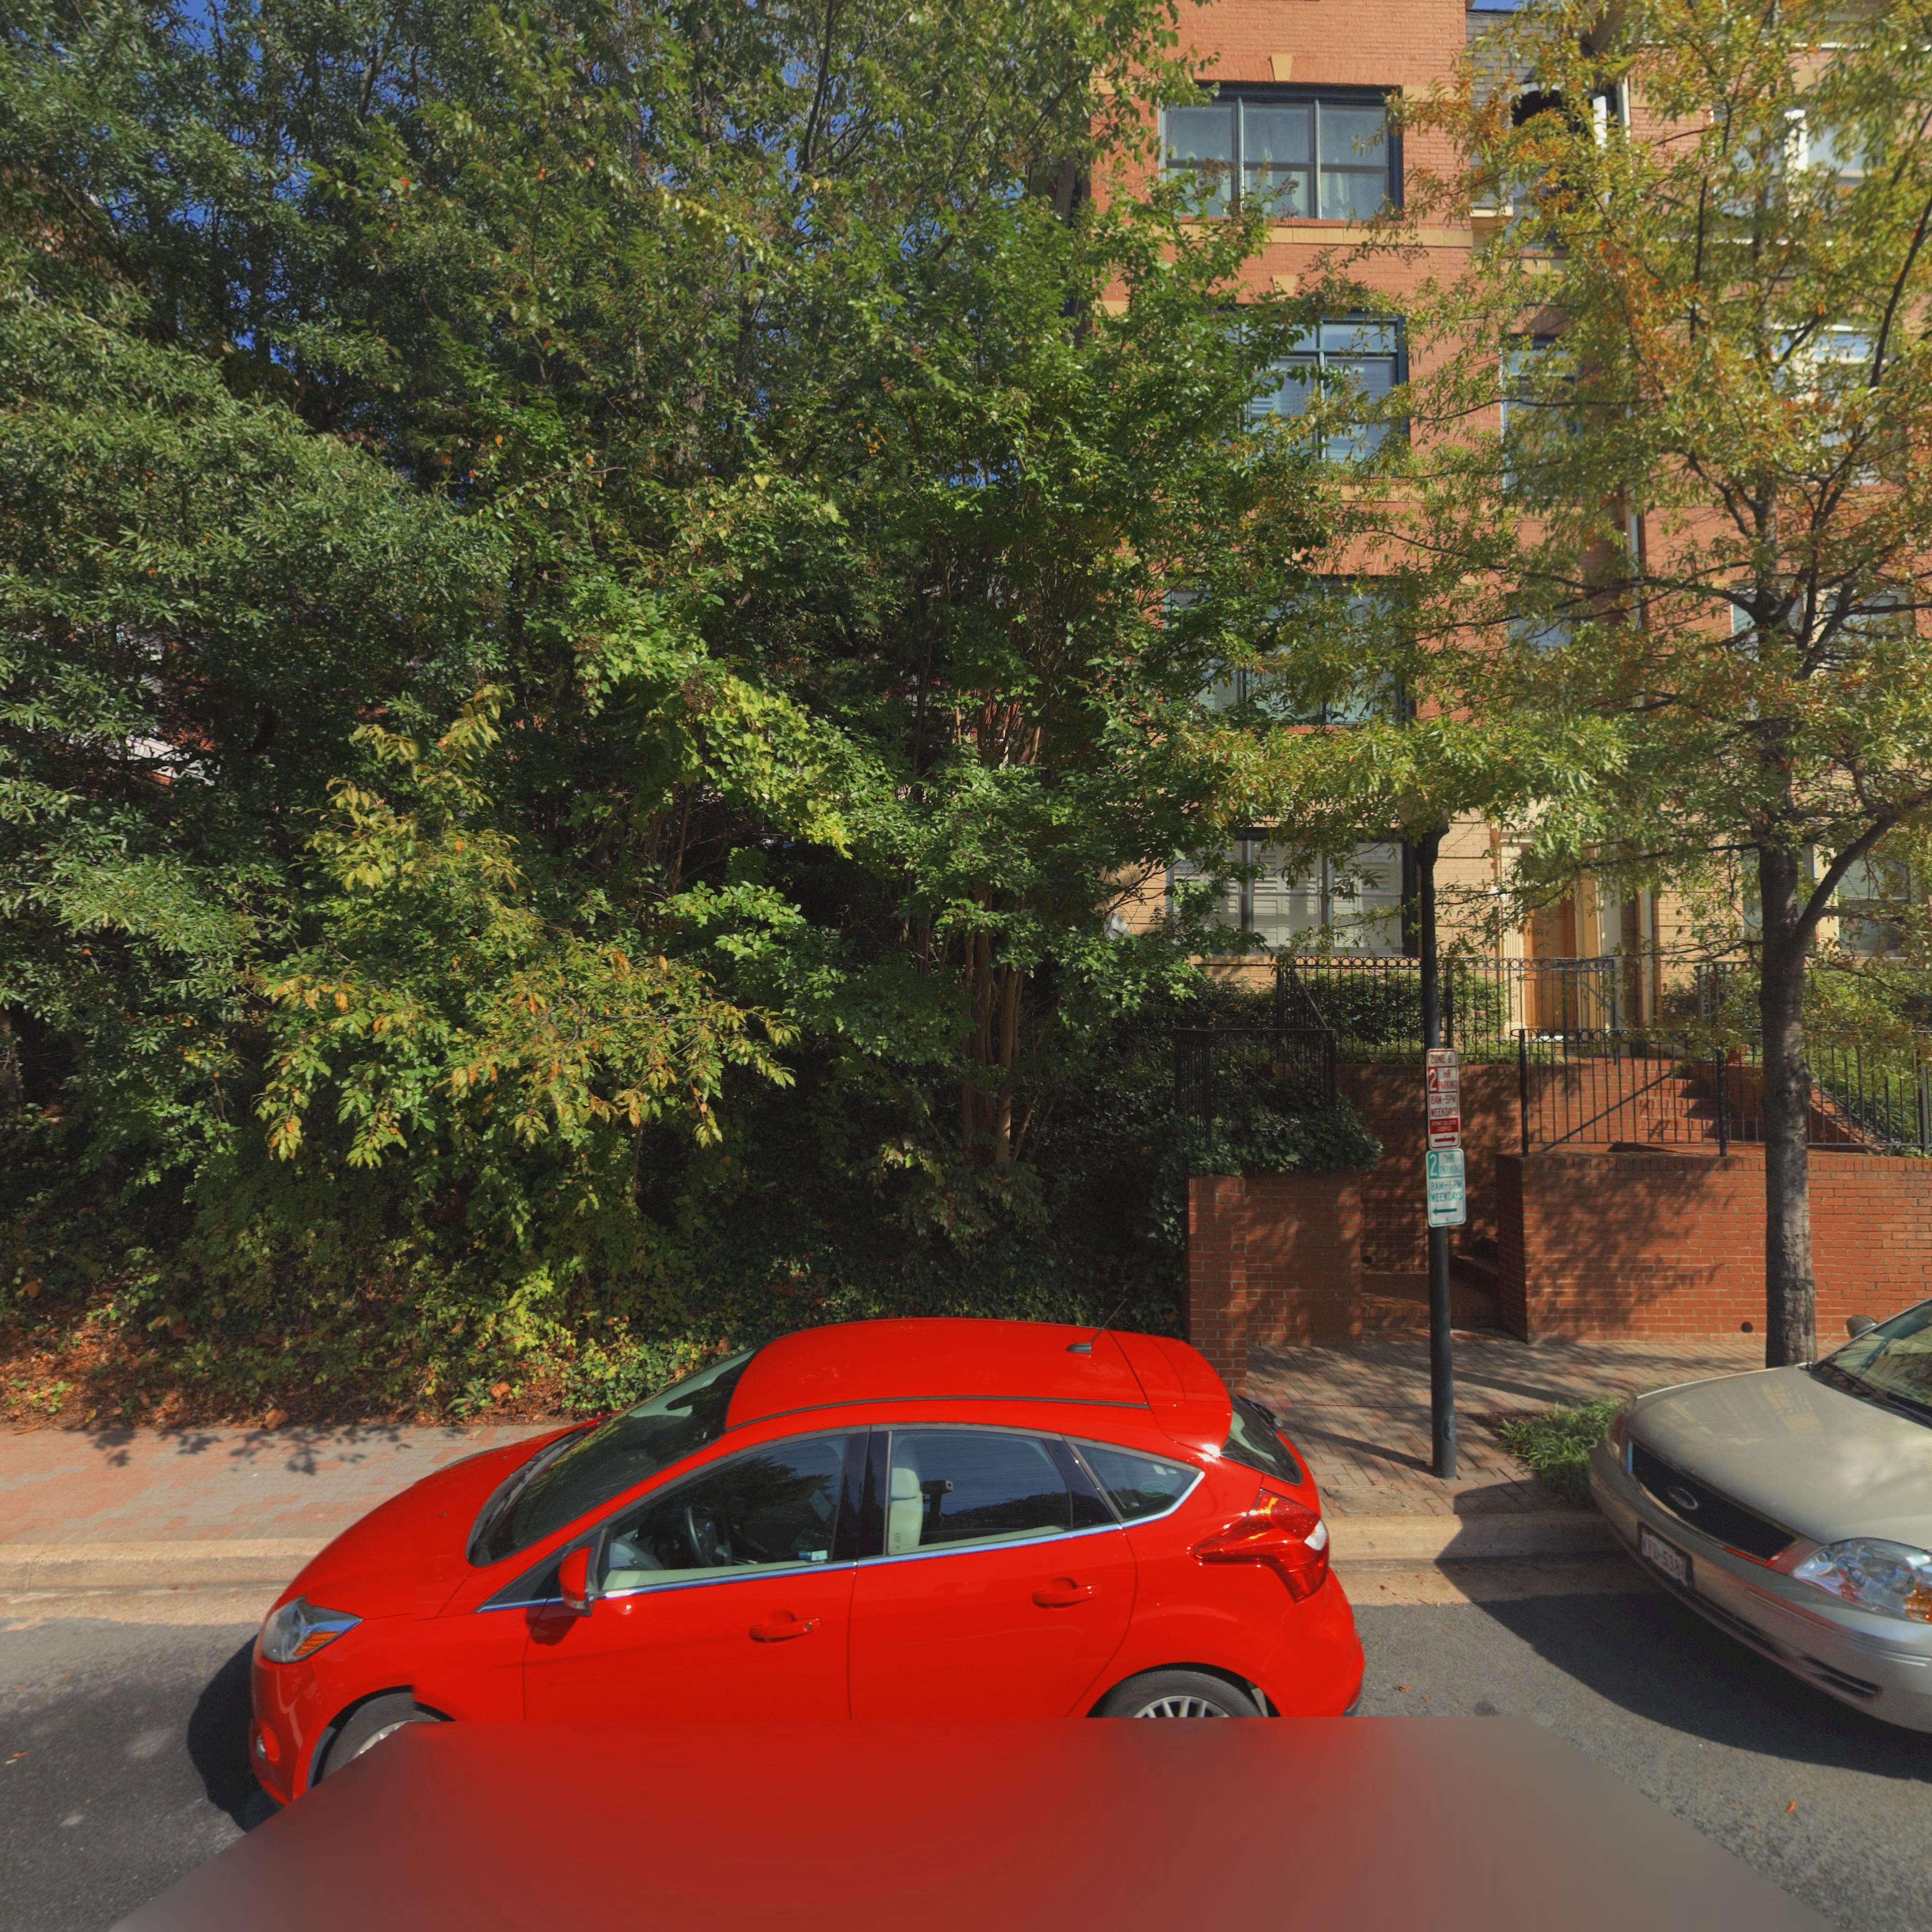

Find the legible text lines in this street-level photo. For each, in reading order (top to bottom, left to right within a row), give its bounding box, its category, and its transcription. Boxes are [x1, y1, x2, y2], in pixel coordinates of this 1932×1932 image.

[1430, 1054, 1452, 1064] None: ZONE 6
[1442, 1068, 1451, 1079] None: HR
[1428, 1069, 1438, 1092] None: 2
[1438, 1080, 1458, 1090] None: PARKING
[1430, 1095, 1456, 1105] None: 8AM-5PM
[1430, 1106, 1458, 1118] None: WEKKDAYS
[1431, 1120, 1457, 1127] None: PERMIT HOLDERS
[1436, 1126, 1452, 1132] None: EXCEPTED
[1445, 1154, 1455, 1163] None: HR
[1429, 1153, 1439, 1177] None: 2
[1439, 1165, 1463, 1176] None: PARKING
[1430, 1179, 1463, 1192] None: 8AM-6PM
[1430, 1190, 1463, 1203] None: WEEKDAYS
[1647, 1536, 1688, 1583] None: VD*5380